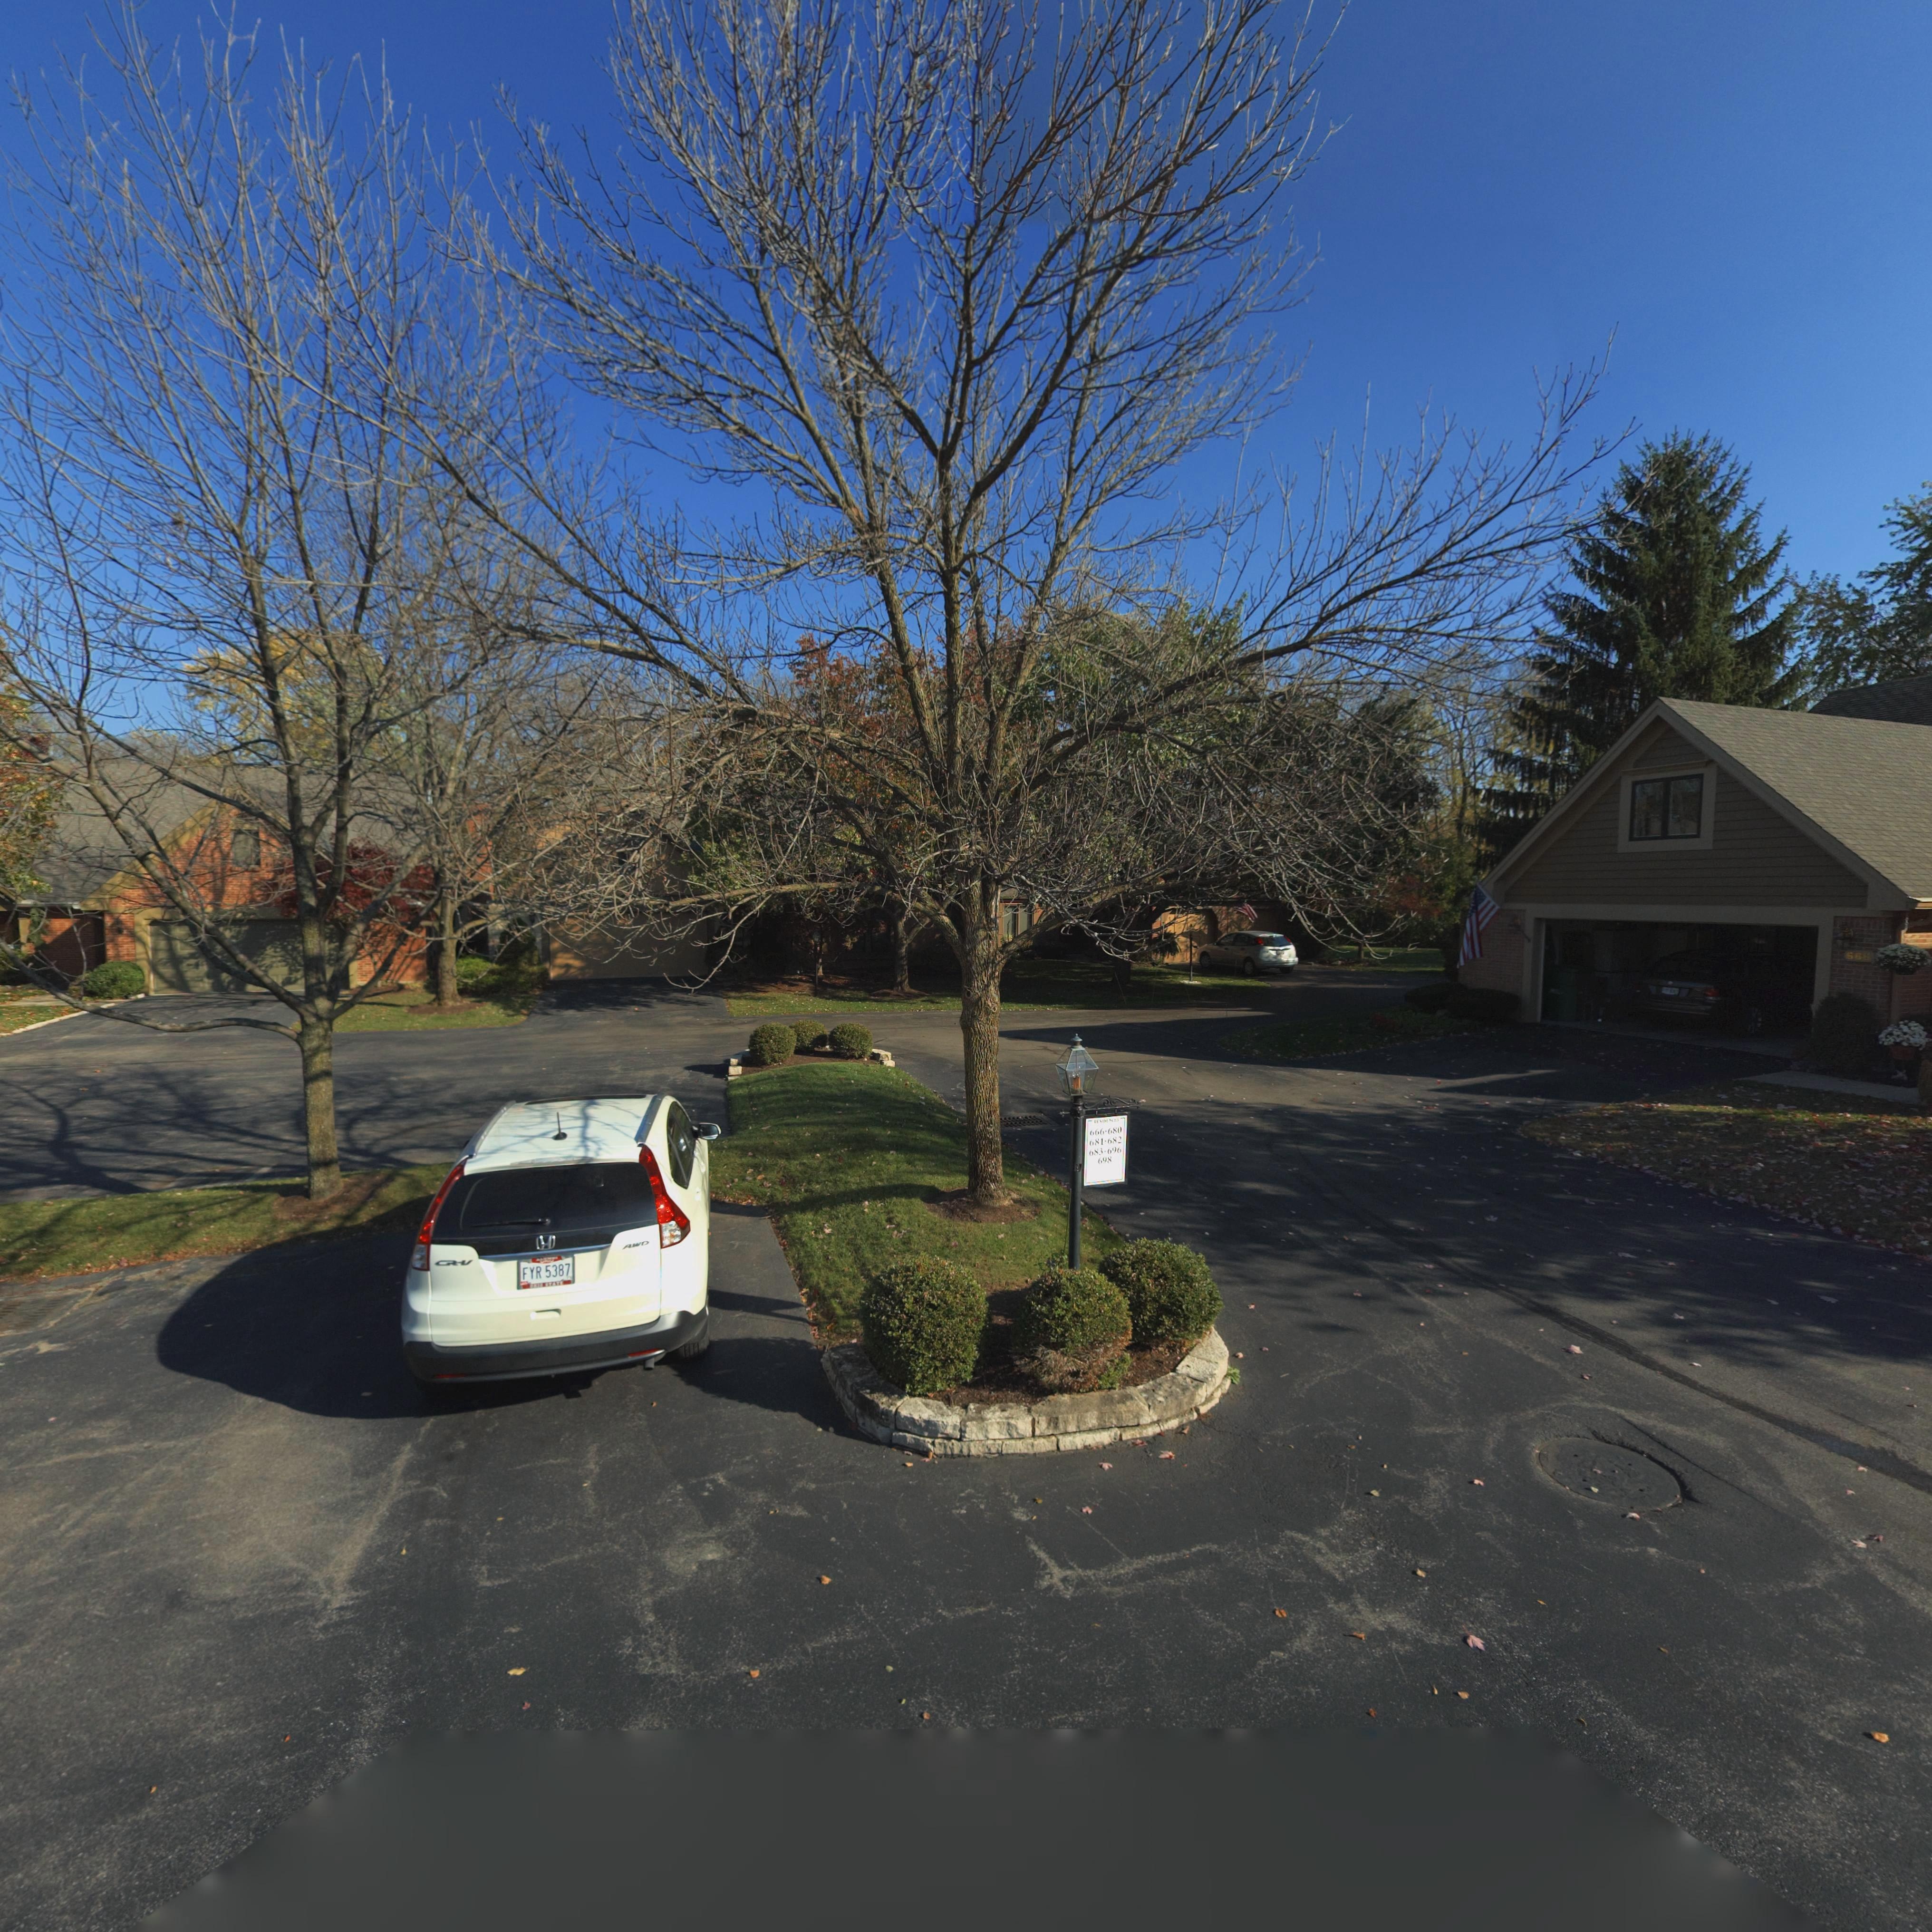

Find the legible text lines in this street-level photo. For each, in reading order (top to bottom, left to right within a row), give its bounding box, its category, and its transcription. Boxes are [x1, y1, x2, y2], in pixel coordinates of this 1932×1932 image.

[1845, 950, 1870, 962] StreetNumber: 666
[1089, 1128, 1106, 1137] StreetNumber: 666
[1107, 1125, 1123, 1136] StreetNumber: 680
[1088, 1137, 1104, 1148] StreetNumber: 681
[1107, 1135, 1123, 1146] StreetNumber: 682
[1088, 1147, 1104, 1157] StreetNumber: 683
[1106, 1145, 1123, 1156] StreetNumber: 696
[1097, 1155, 1113, 1166] StreetNumber: 698